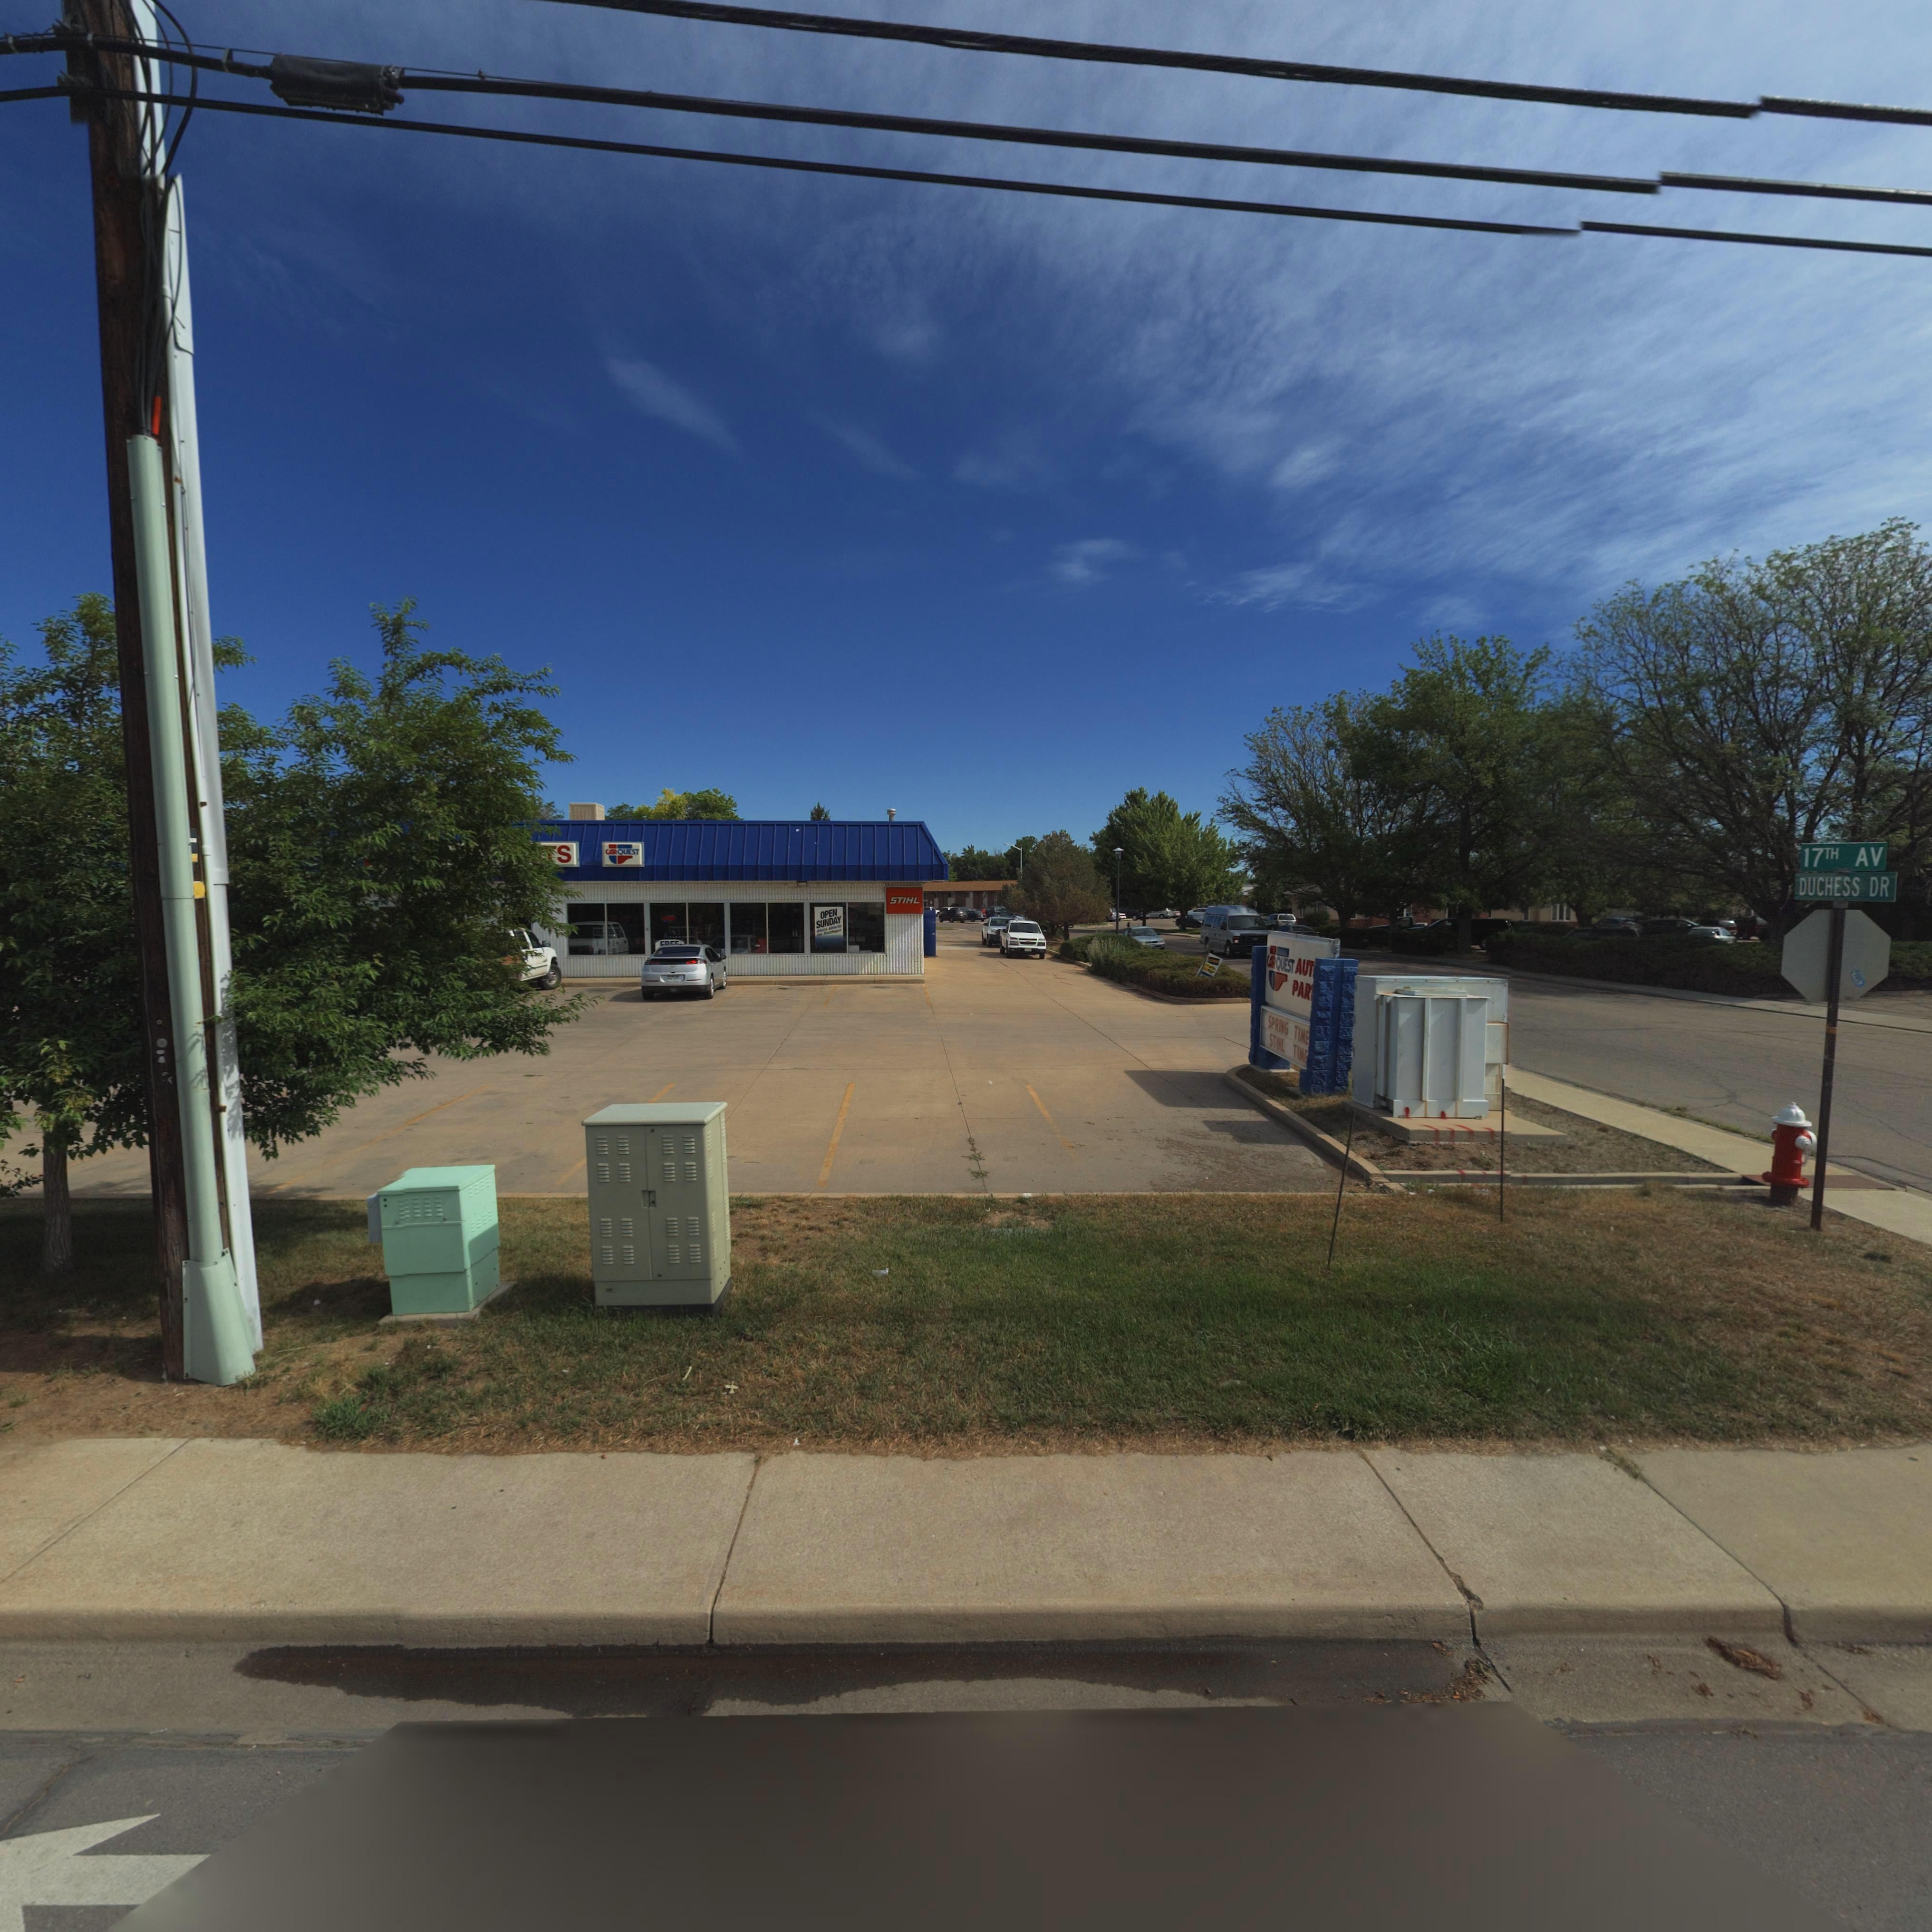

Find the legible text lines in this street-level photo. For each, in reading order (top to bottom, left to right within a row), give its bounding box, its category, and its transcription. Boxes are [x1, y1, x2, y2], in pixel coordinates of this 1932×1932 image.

[541, 845, 572, 863] BusinessName: *S
[605, 848, 639, 855] BusinessName: CAR QUEST
[1803, 846, 1884, 867] StreetName: 17TH AV
[1798, 876, 1890, 897] StreetName: DUCHESS DR
[1266, 954, 1295, 974] BusinessName: CAR QUEST
[1294, 957, 1314, 978] BusinessName: AUT
[1291, 979, 1314, 1002] BusinessName: PAR*